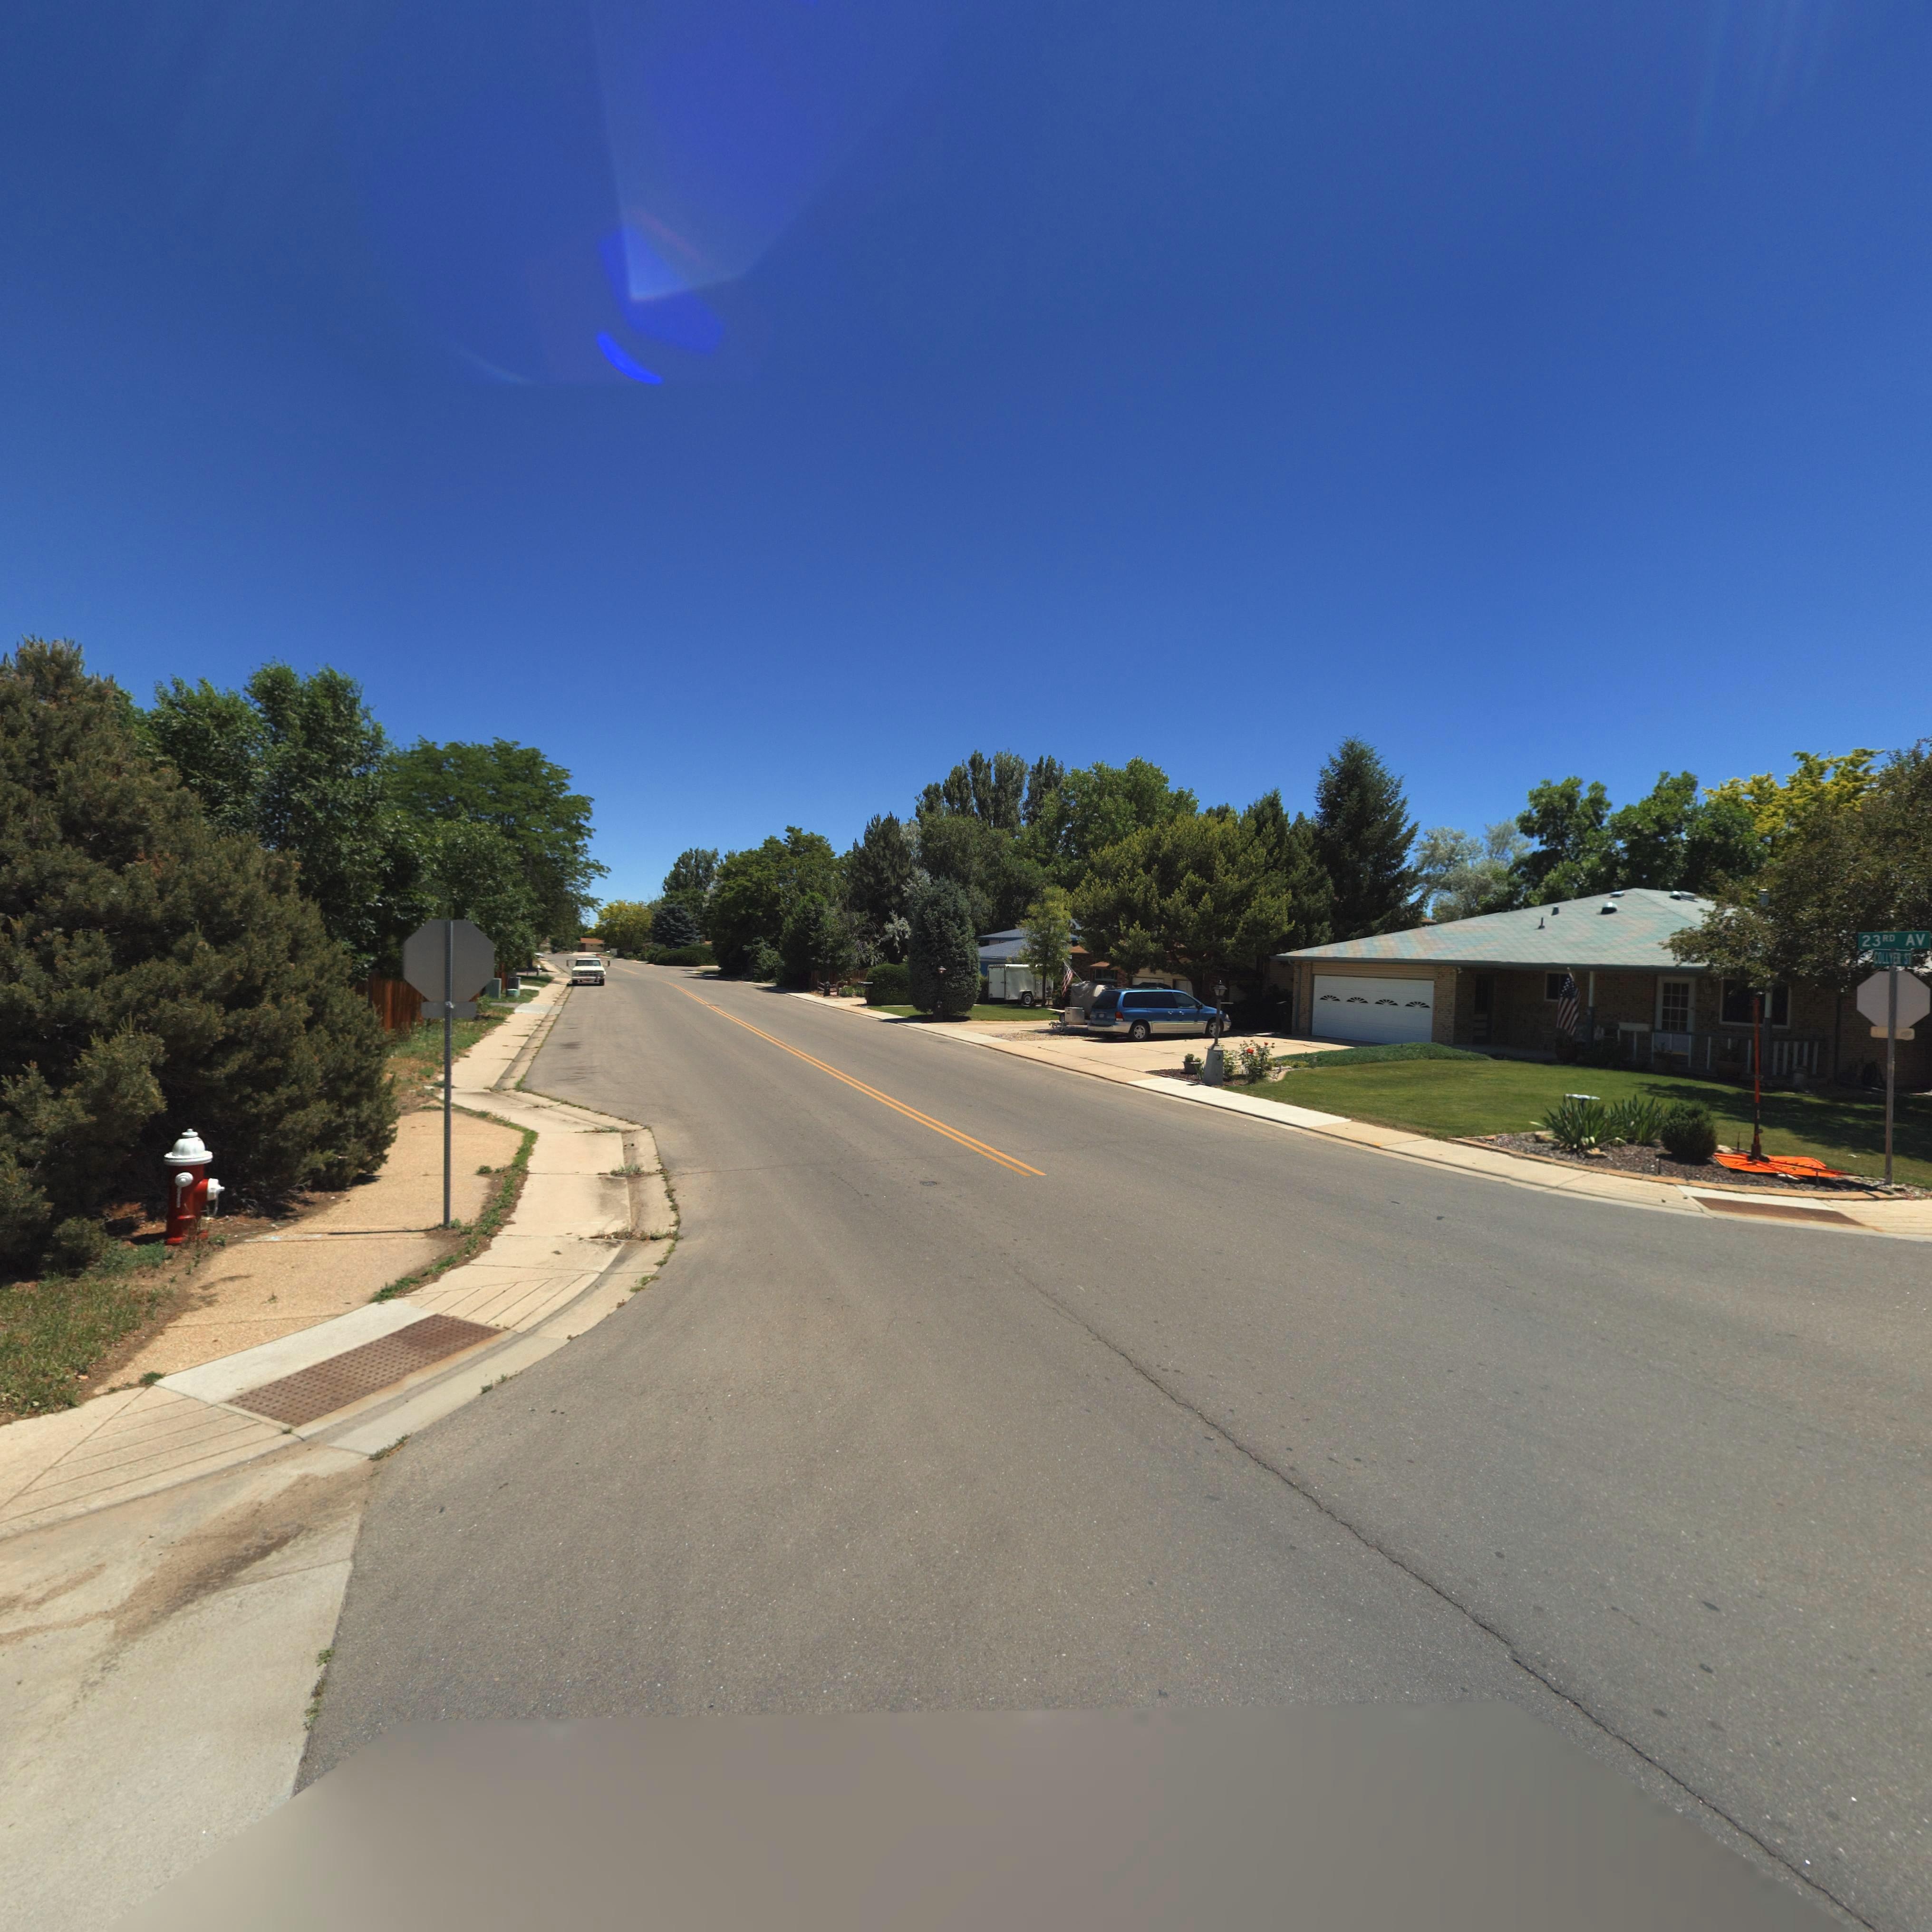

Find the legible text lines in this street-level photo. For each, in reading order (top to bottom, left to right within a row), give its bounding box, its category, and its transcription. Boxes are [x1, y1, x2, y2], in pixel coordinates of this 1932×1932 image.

[1861, 934, 1924, 946] StreetName: 23RD AV
[1874, 951, 1912, 965] StreetName: COLLYER ST